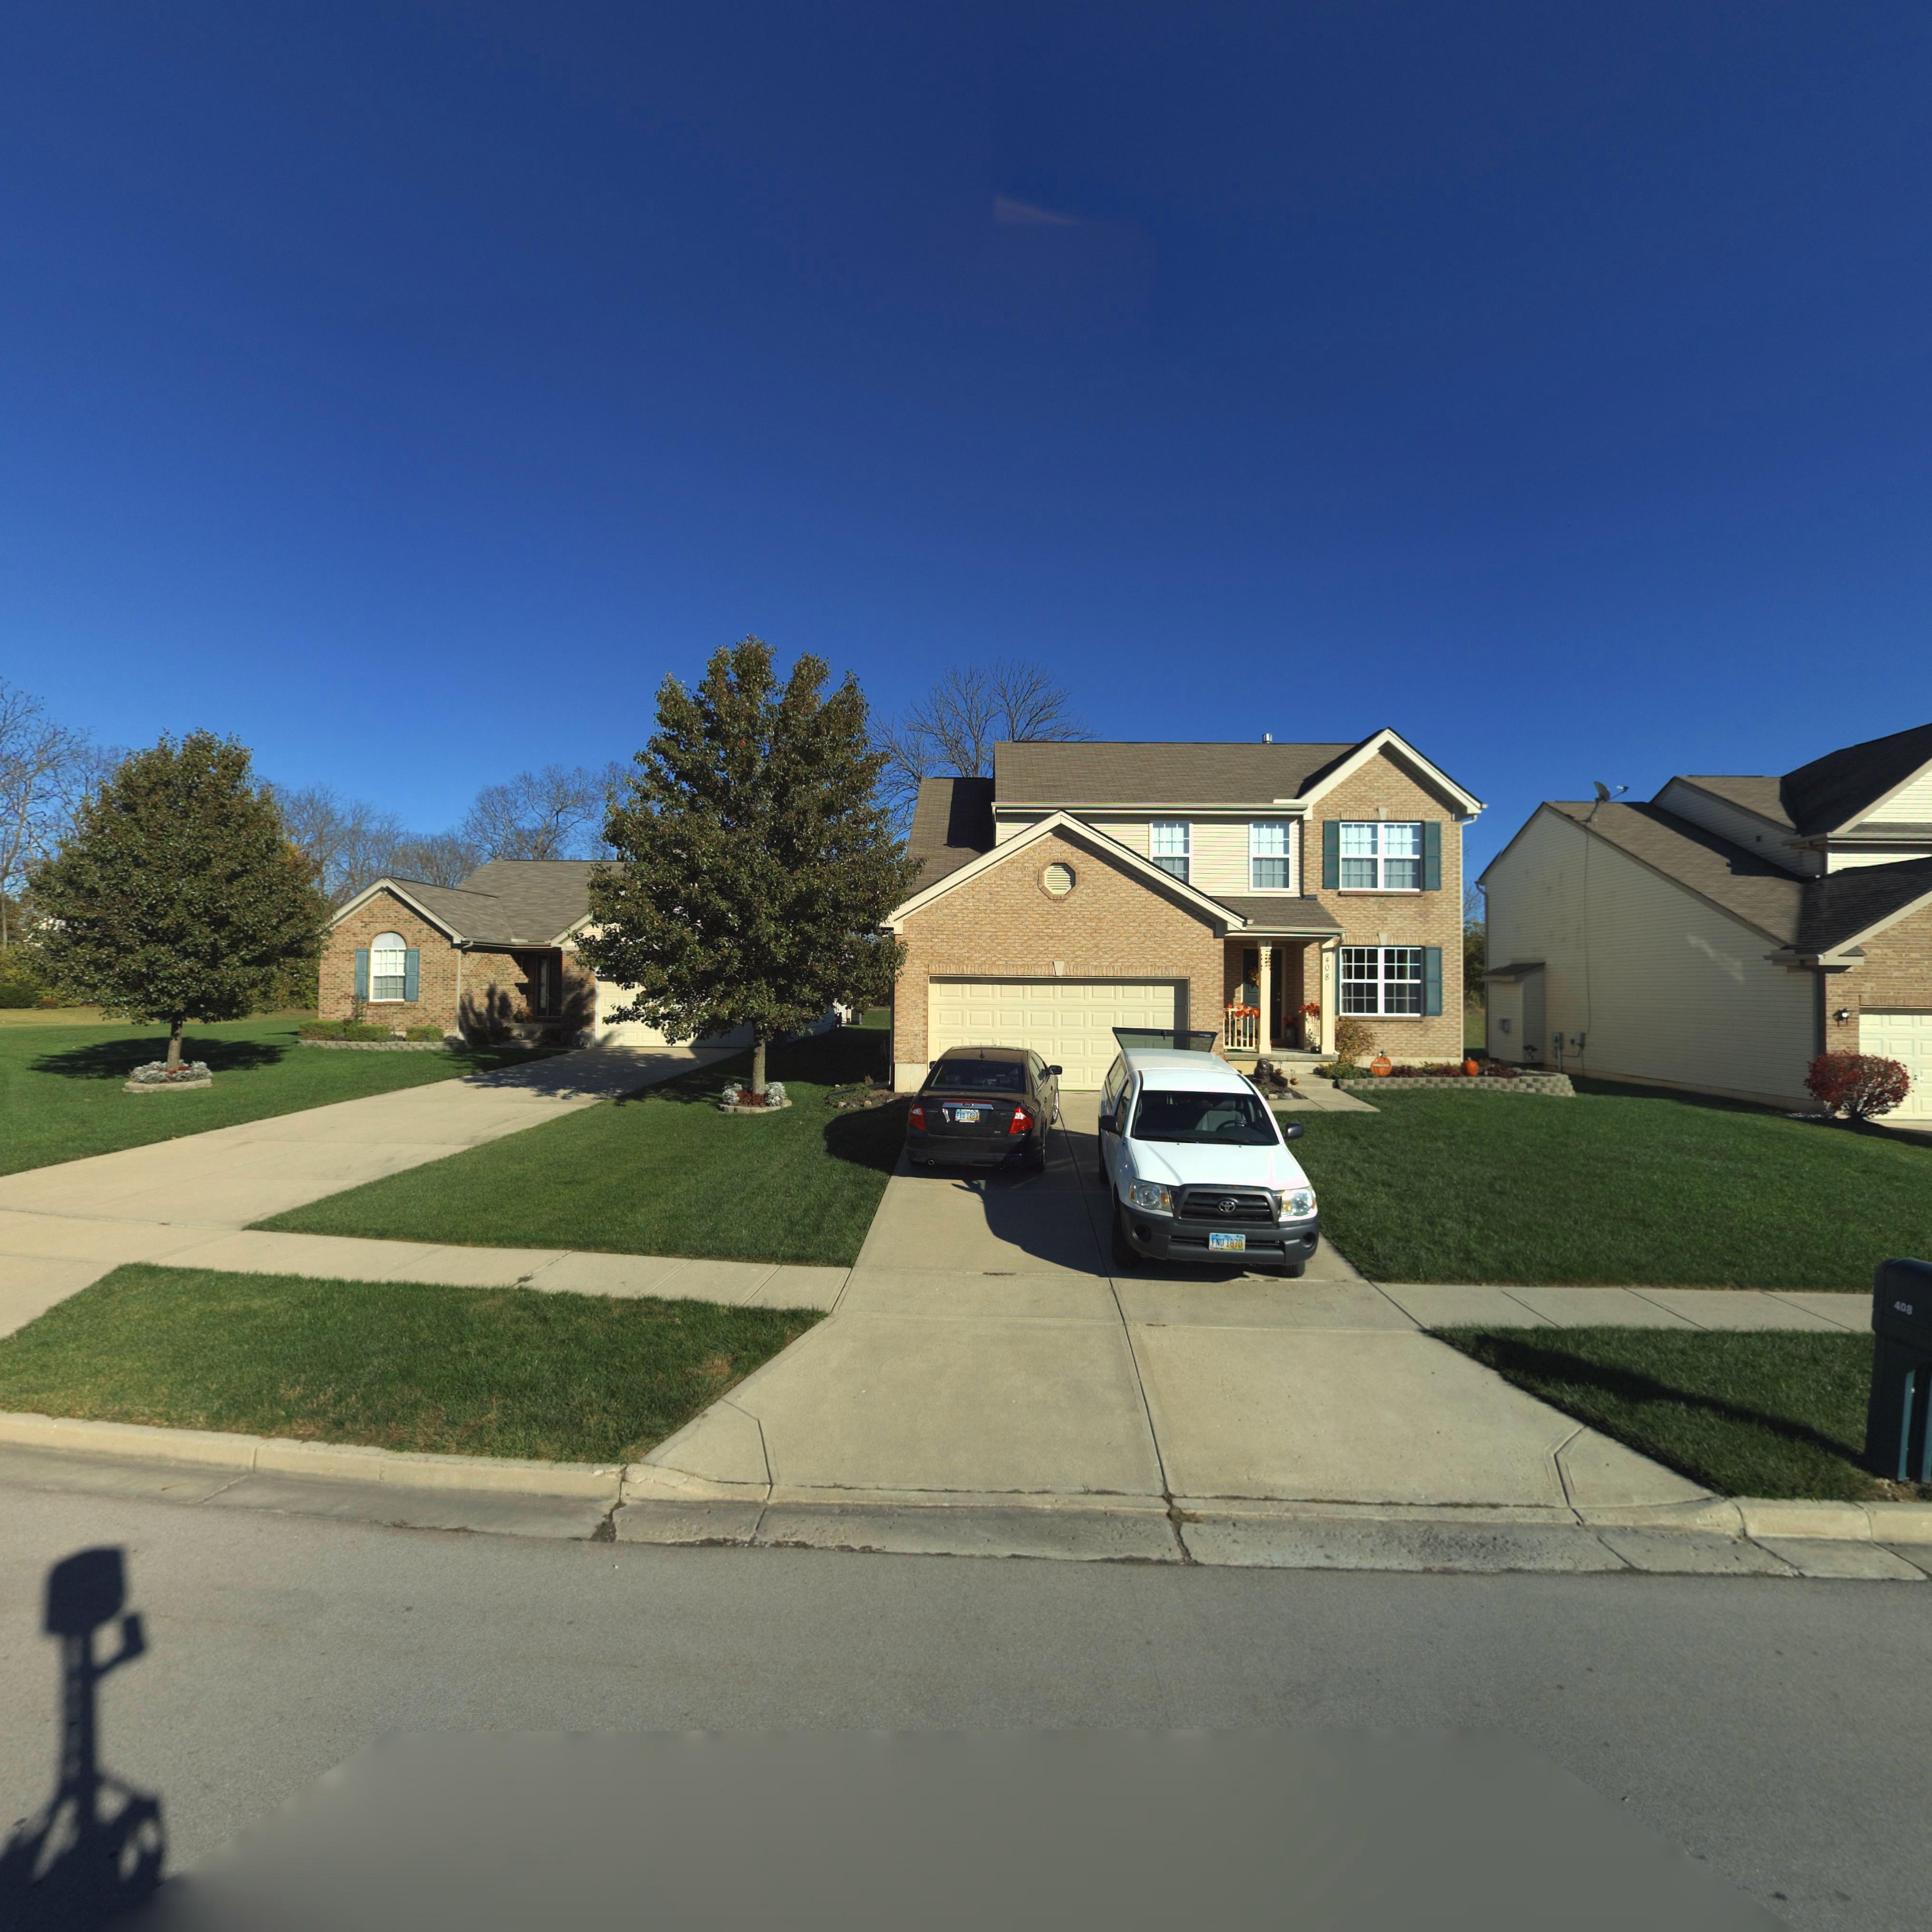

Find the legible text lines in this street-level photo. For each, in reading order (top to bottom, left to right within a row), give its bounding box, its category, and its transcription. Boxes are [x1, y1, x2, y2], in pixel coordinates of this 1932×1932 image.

[1324, 956, 1330, 981] StreetNumber: 408
[1893, 1300, 1914, 1315] StreetNumber: 408